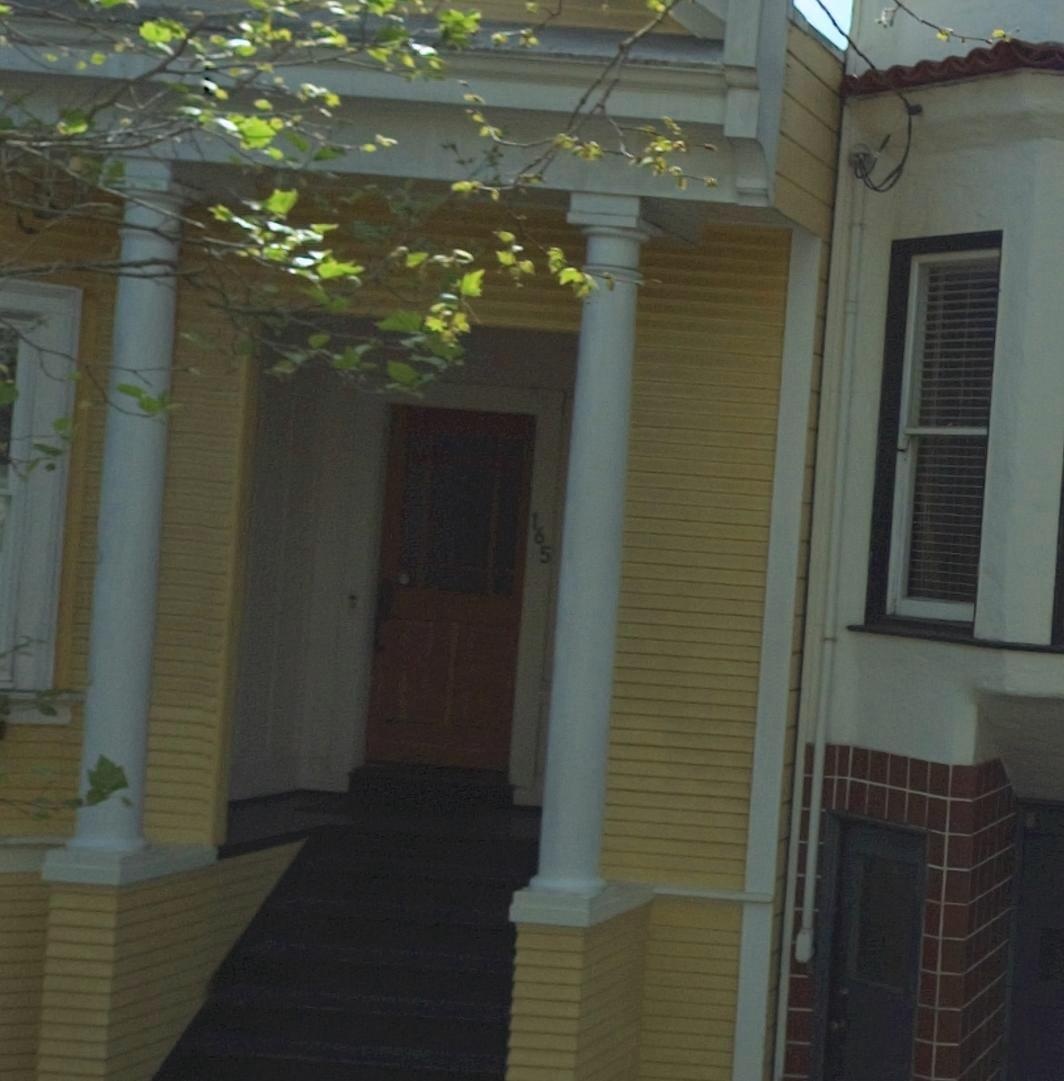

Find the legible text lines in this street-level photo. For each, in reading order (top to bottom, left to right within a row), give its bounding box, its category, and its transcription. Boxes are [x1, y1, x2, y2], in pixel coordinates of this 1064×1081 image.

[529, 511, 554, 570] StreetNumber: 165